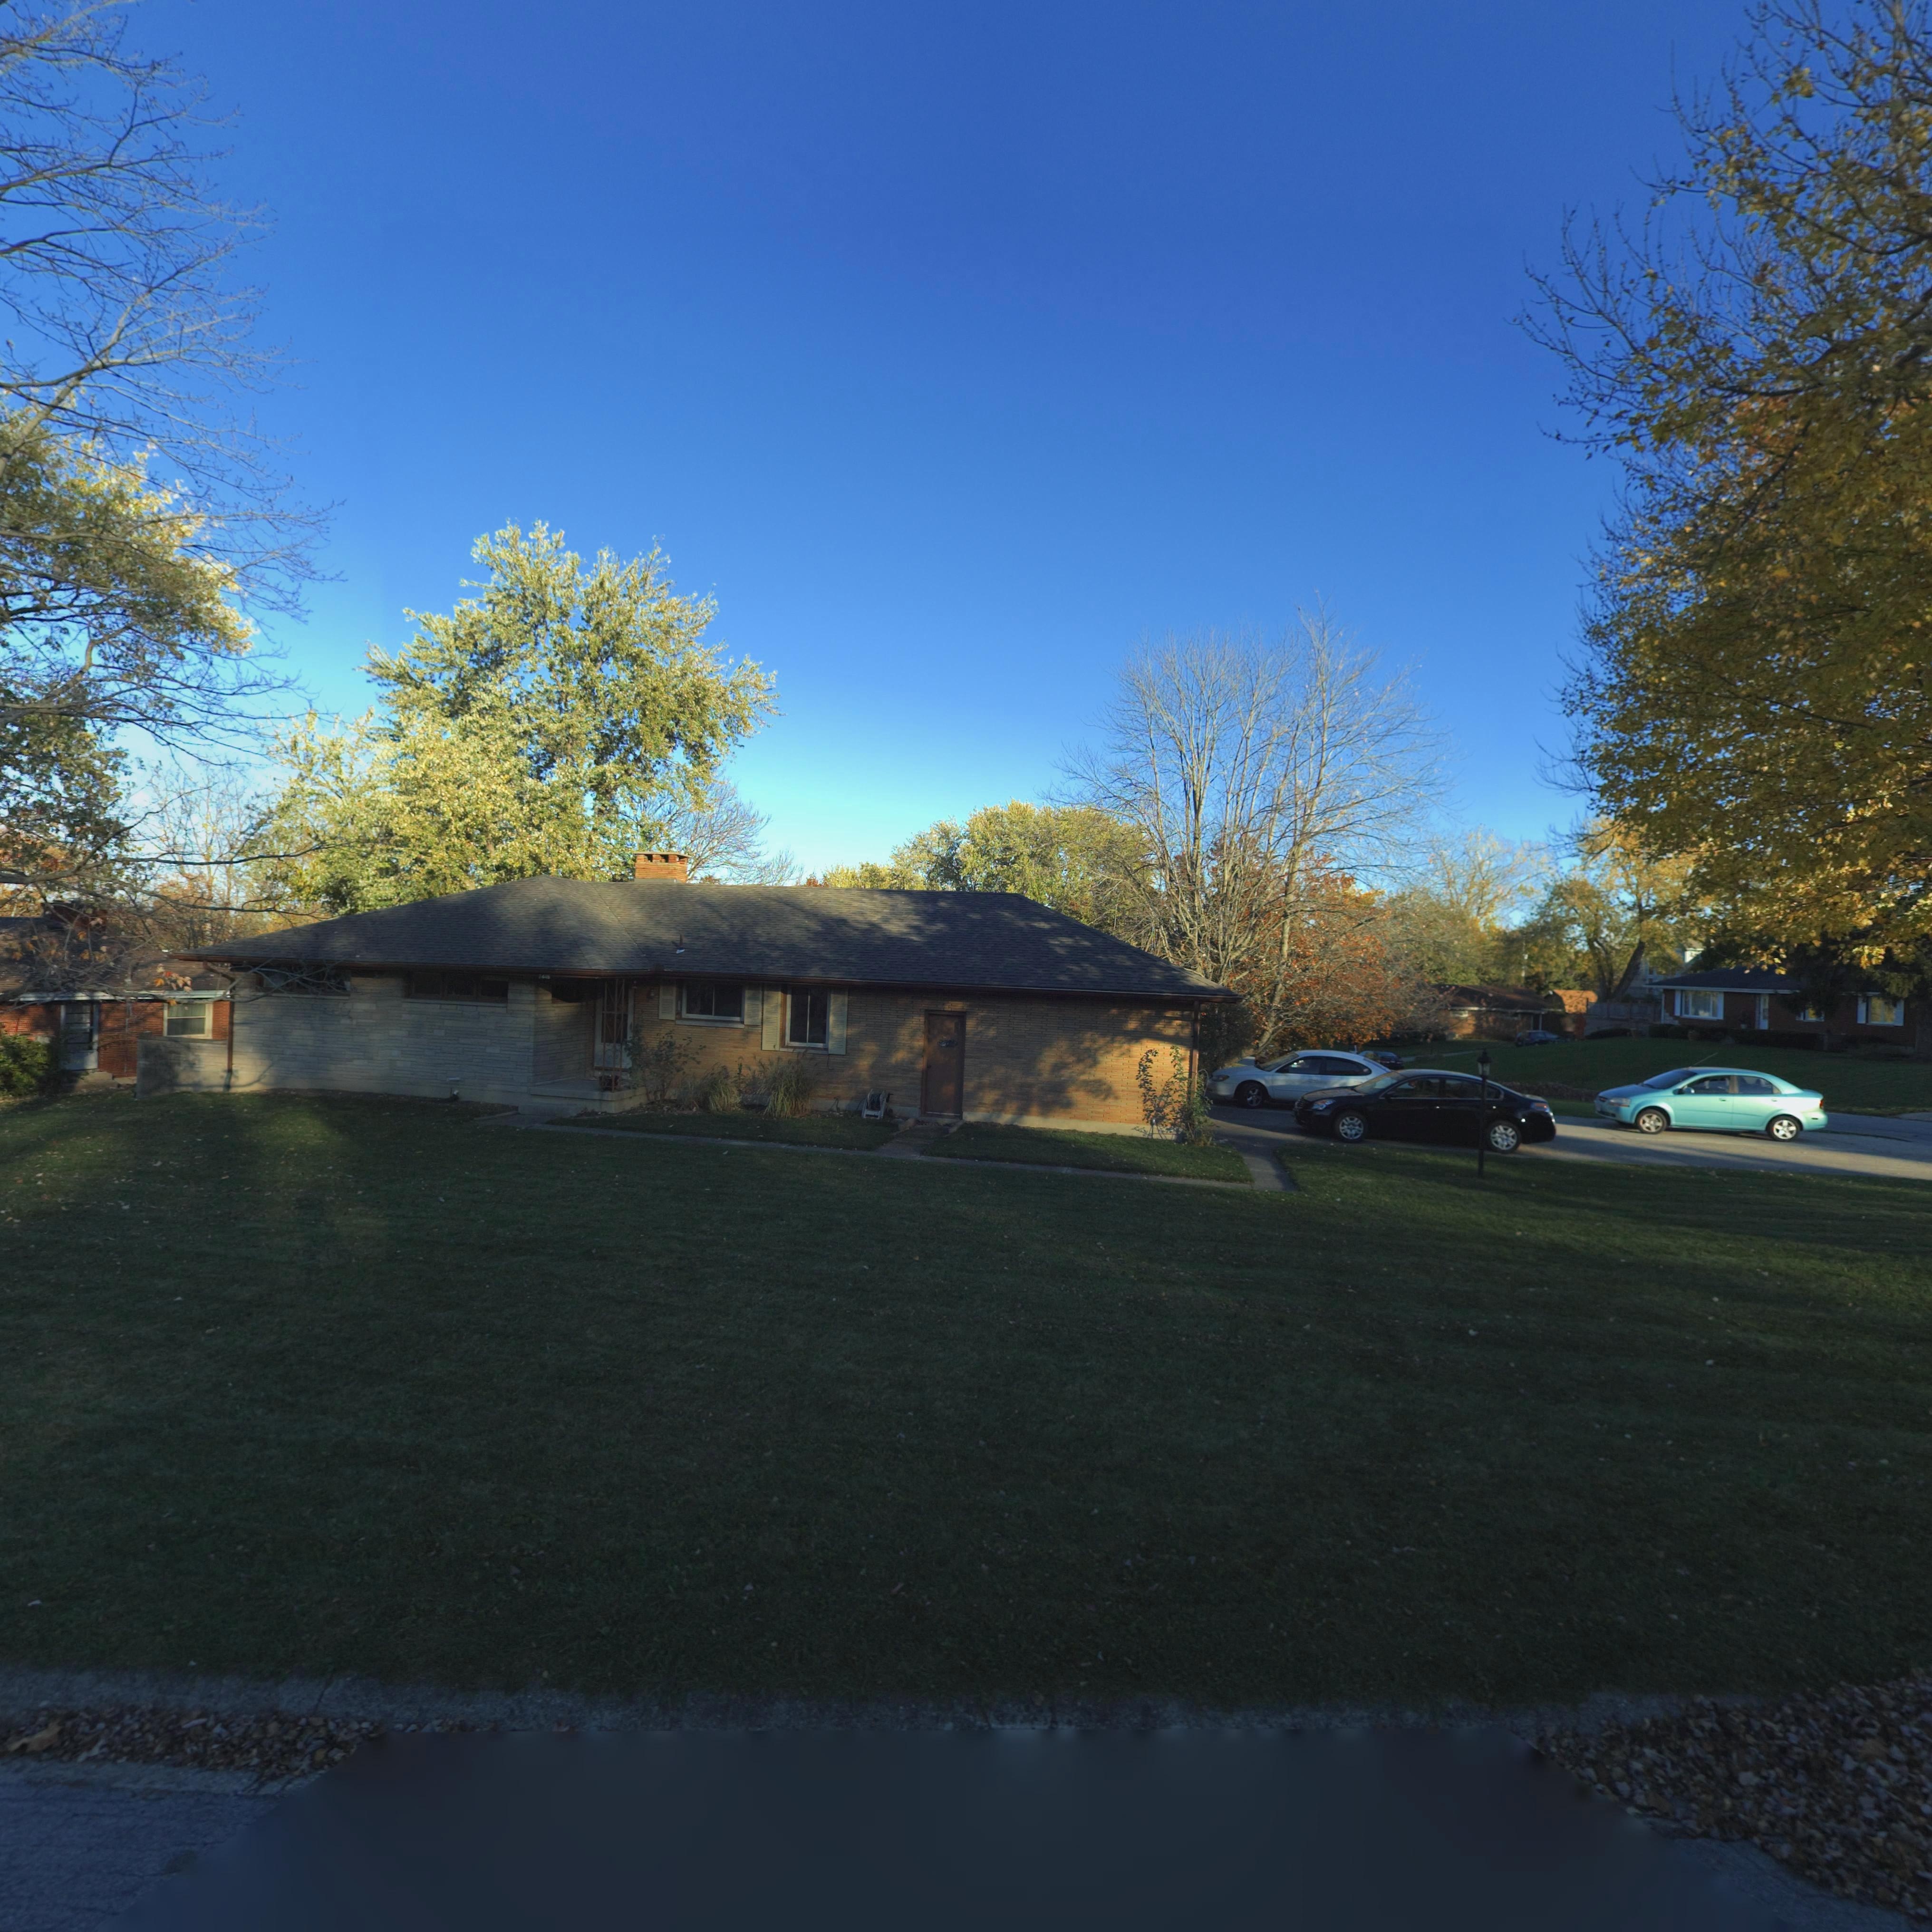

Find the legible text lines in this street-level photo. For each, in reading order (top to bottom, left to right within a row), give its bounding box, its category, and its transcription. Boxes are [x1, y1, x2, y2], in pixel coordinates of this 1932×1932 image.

[537, 973, 551, 980] StreetNumber: 74**